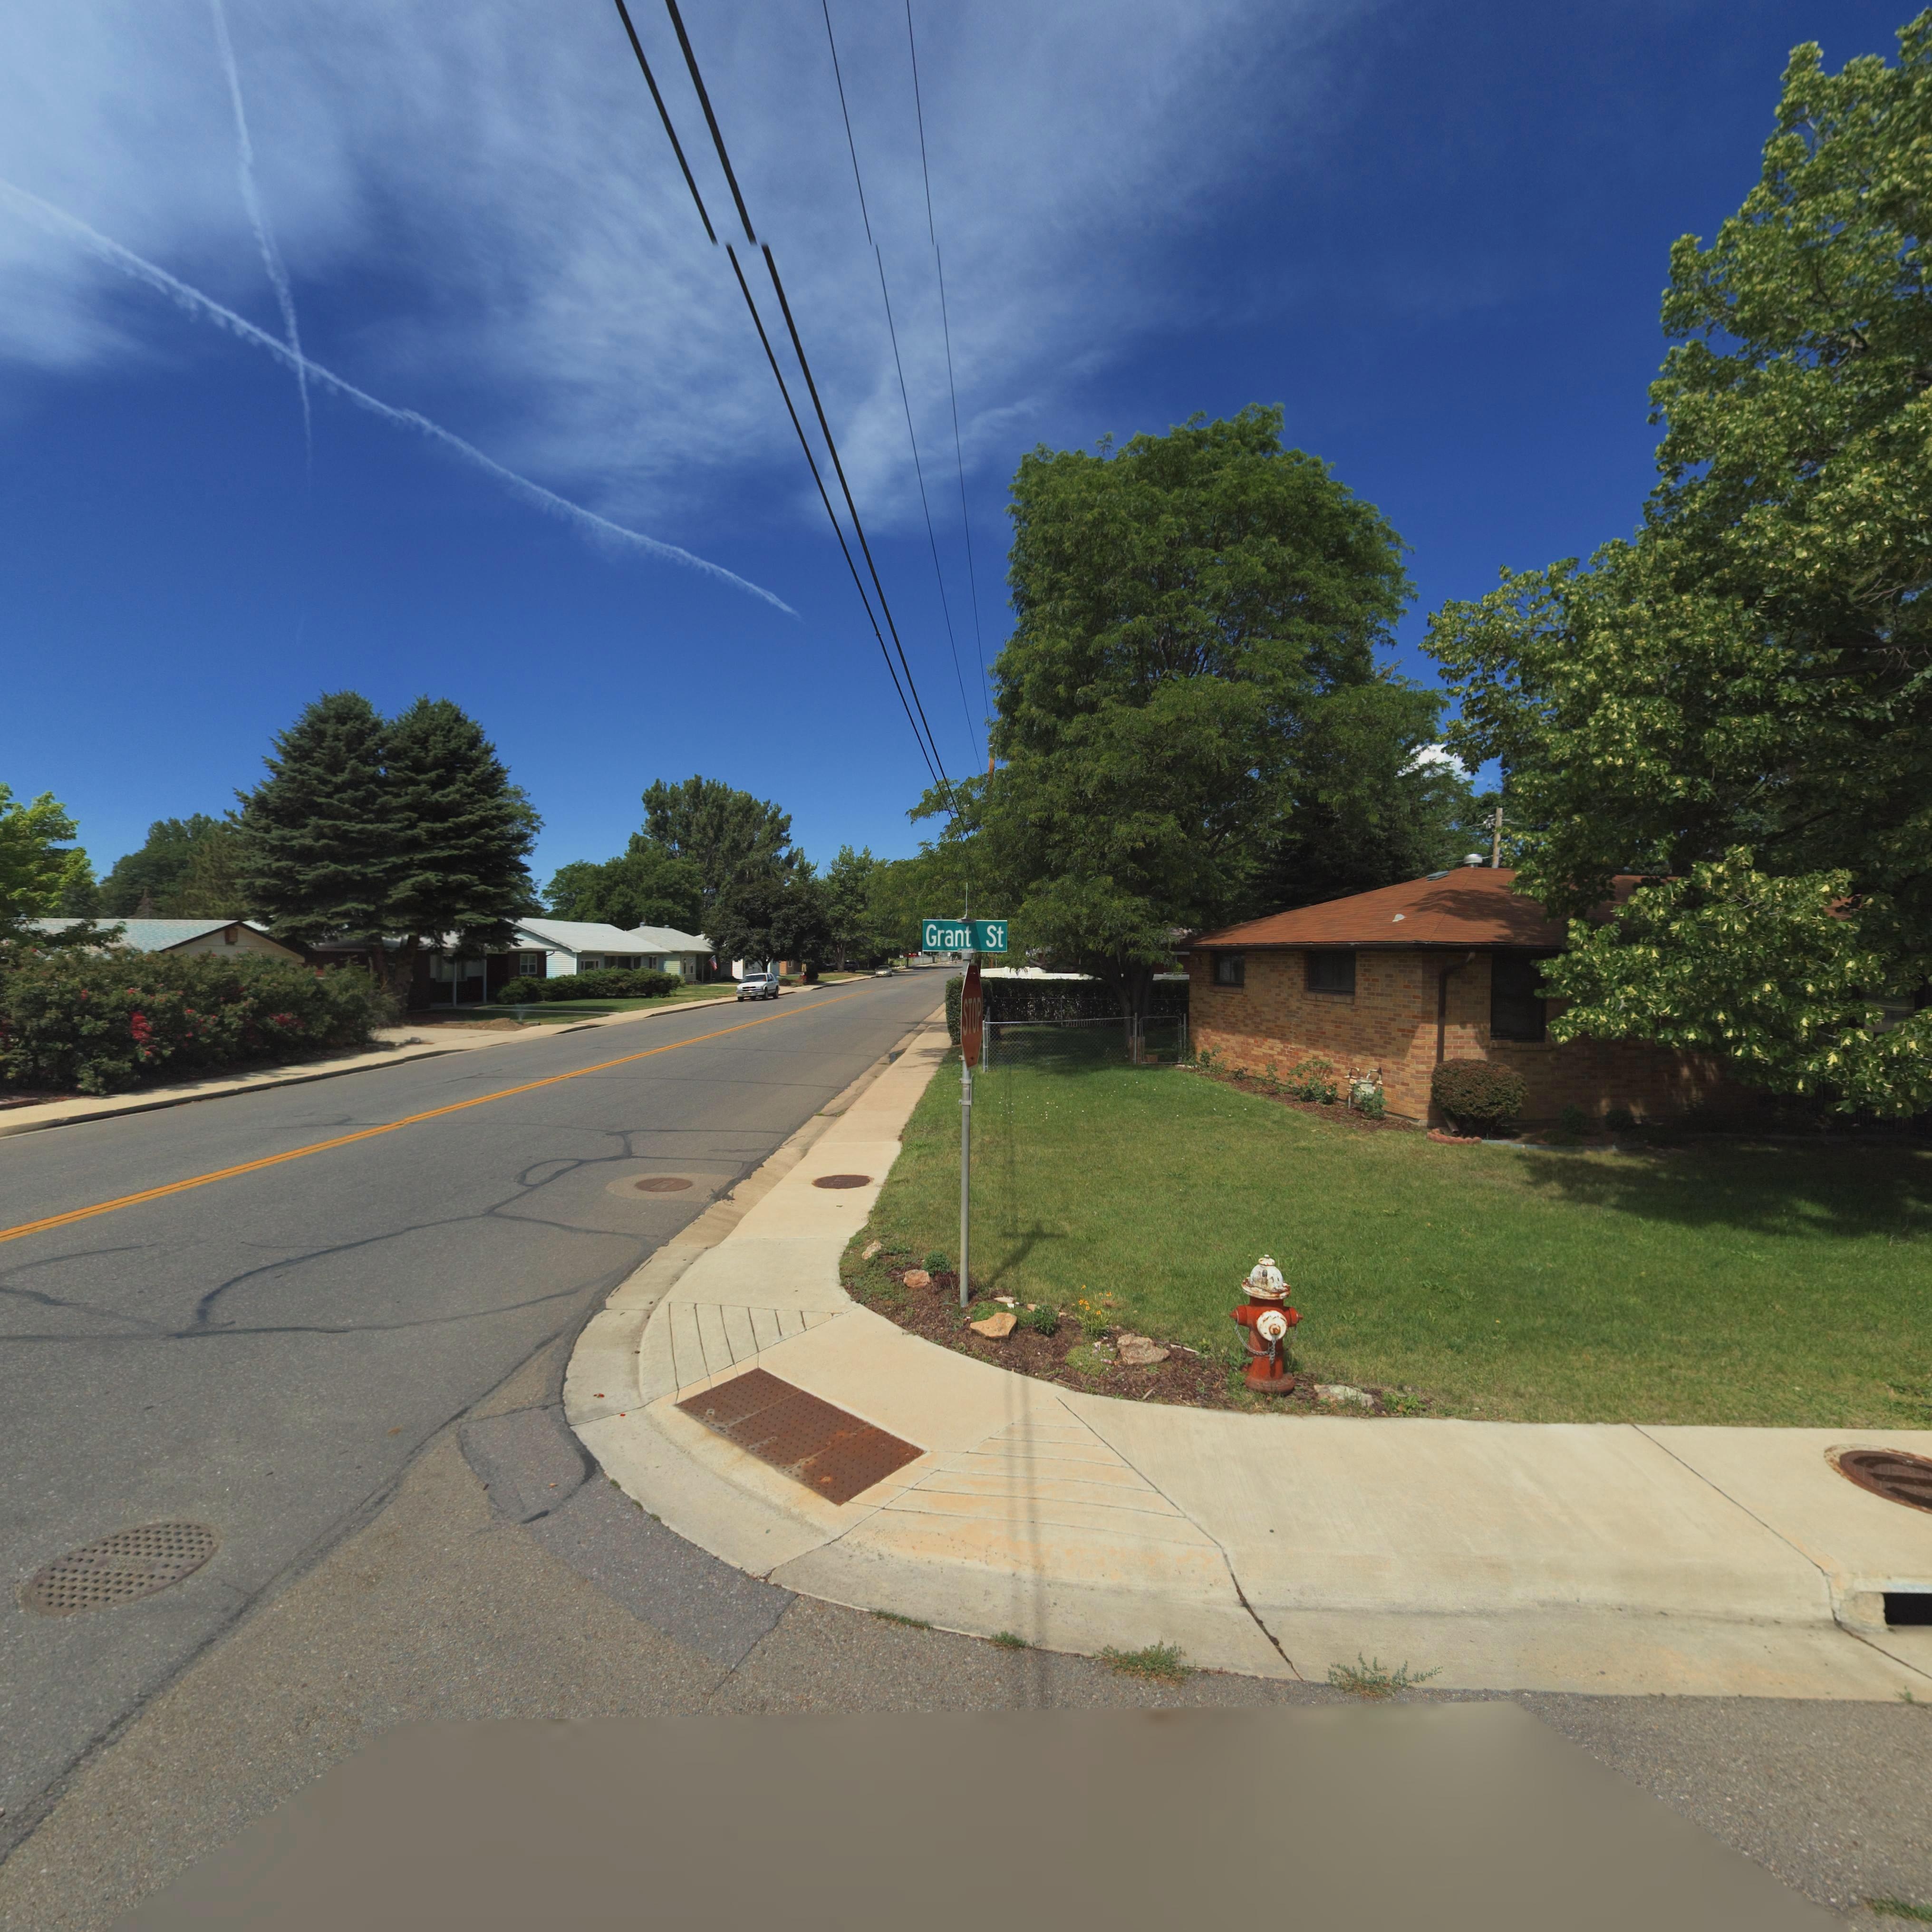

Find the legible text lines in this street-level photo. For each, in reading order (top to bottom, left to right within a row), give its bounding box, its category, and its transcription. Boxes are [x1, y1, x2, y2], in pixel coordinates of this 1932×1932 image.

[925, 923, 1004, 948] StreetName: Grant St